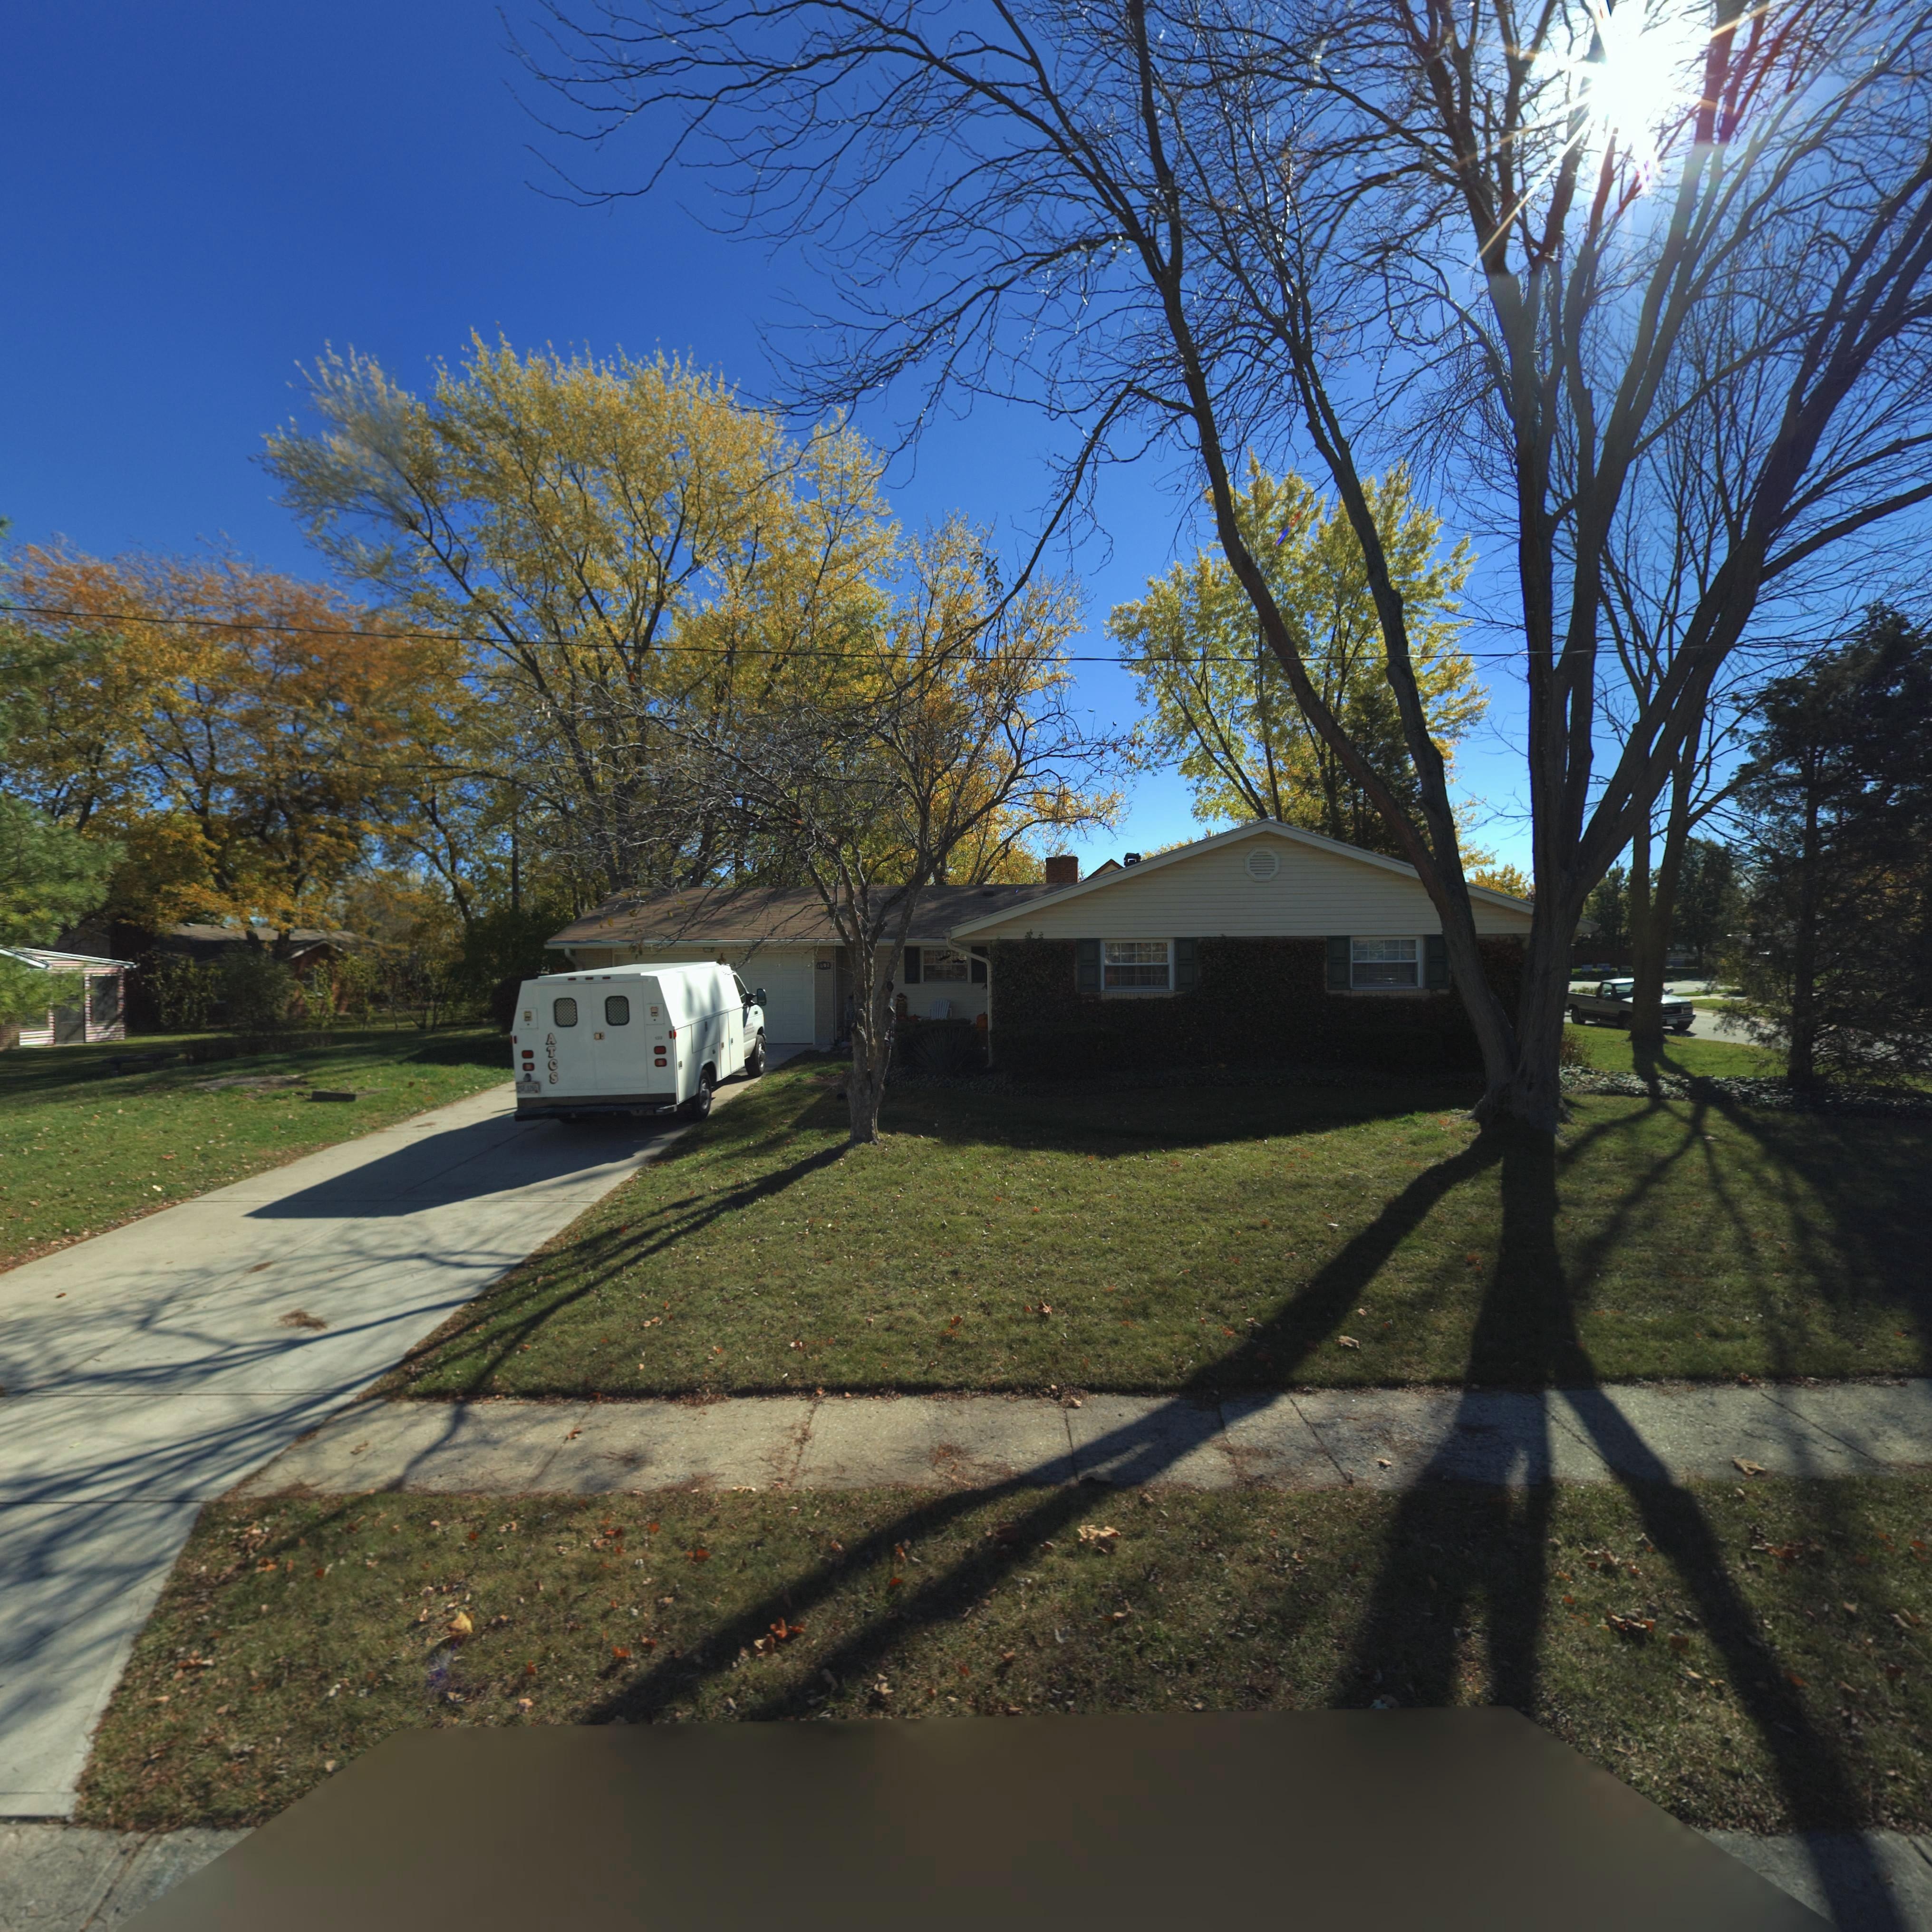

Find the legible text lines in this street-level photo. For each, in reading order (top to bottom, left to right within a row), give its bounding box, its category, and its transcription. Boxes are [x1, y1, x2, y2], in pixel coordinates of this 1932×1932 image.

[817, 962, 830, 969] StreetNumber: 1002